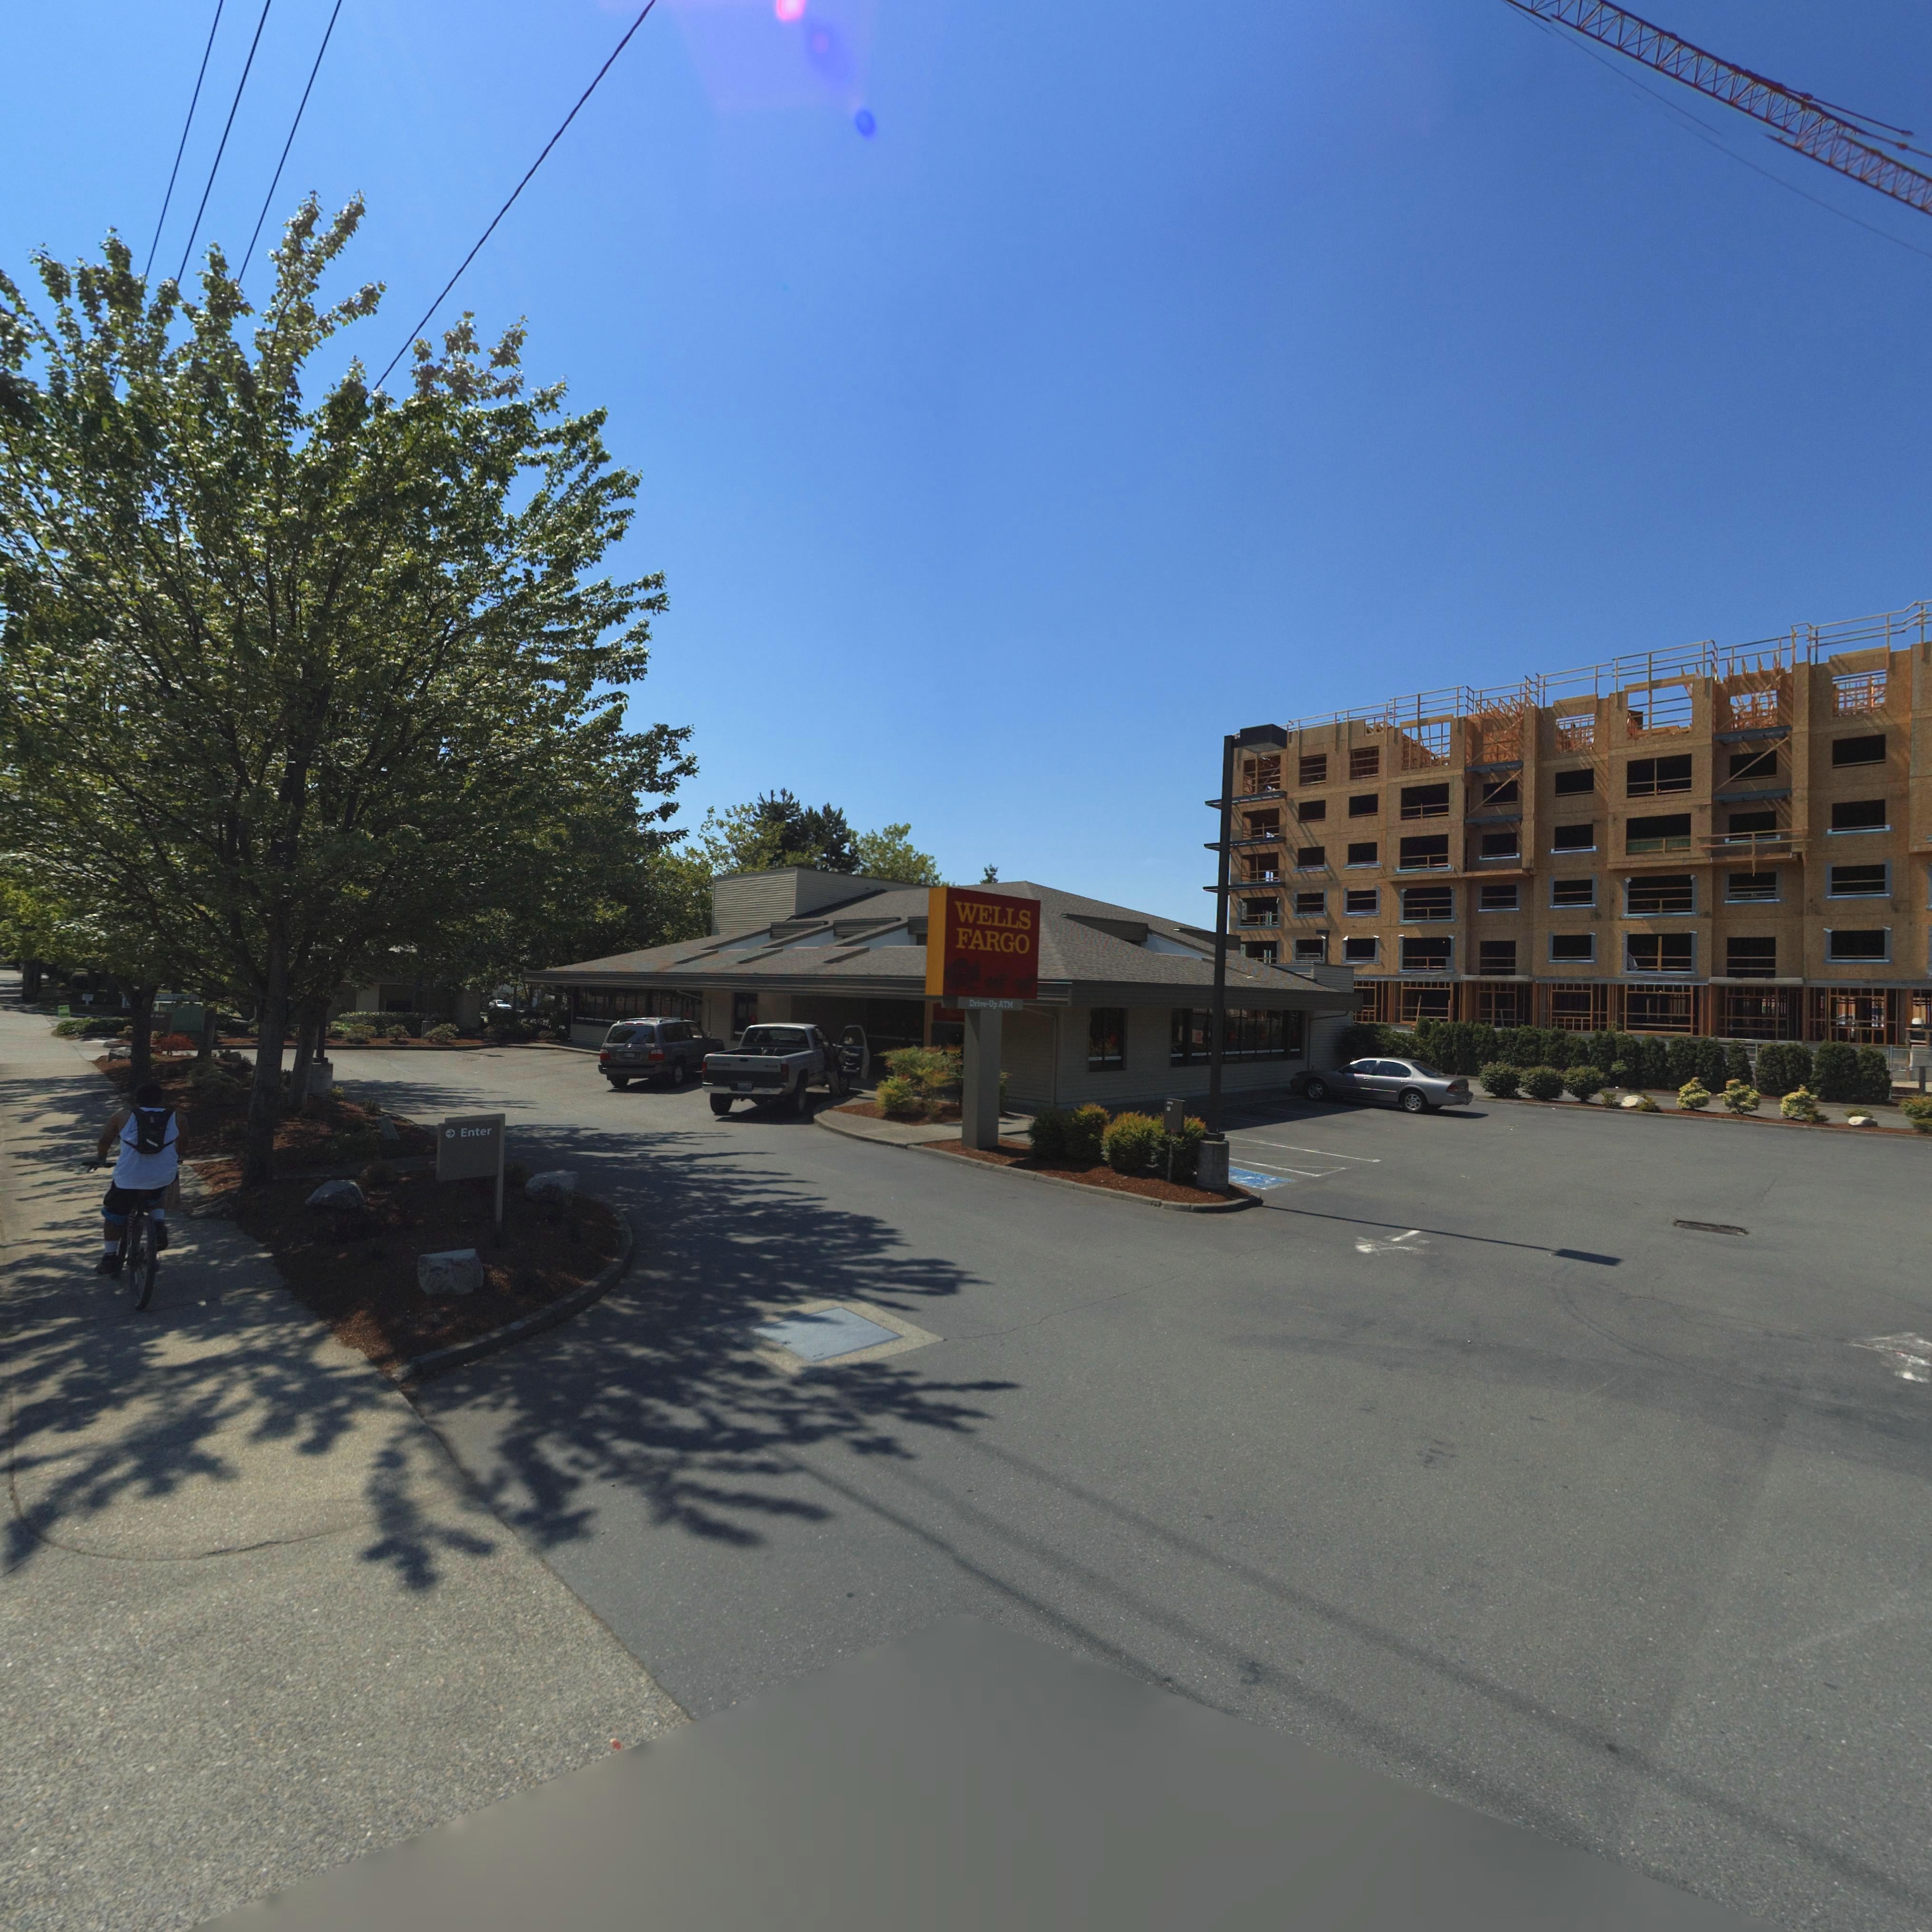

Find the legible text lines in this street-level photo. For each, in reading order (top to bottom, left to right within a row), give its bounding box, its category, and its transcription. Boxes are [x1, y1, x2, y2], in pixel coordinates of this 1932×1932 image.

[955, 901, 1030, 930] BusinessName: WELLS
[956, 927, 1030, 954] BusinessName: FARGO